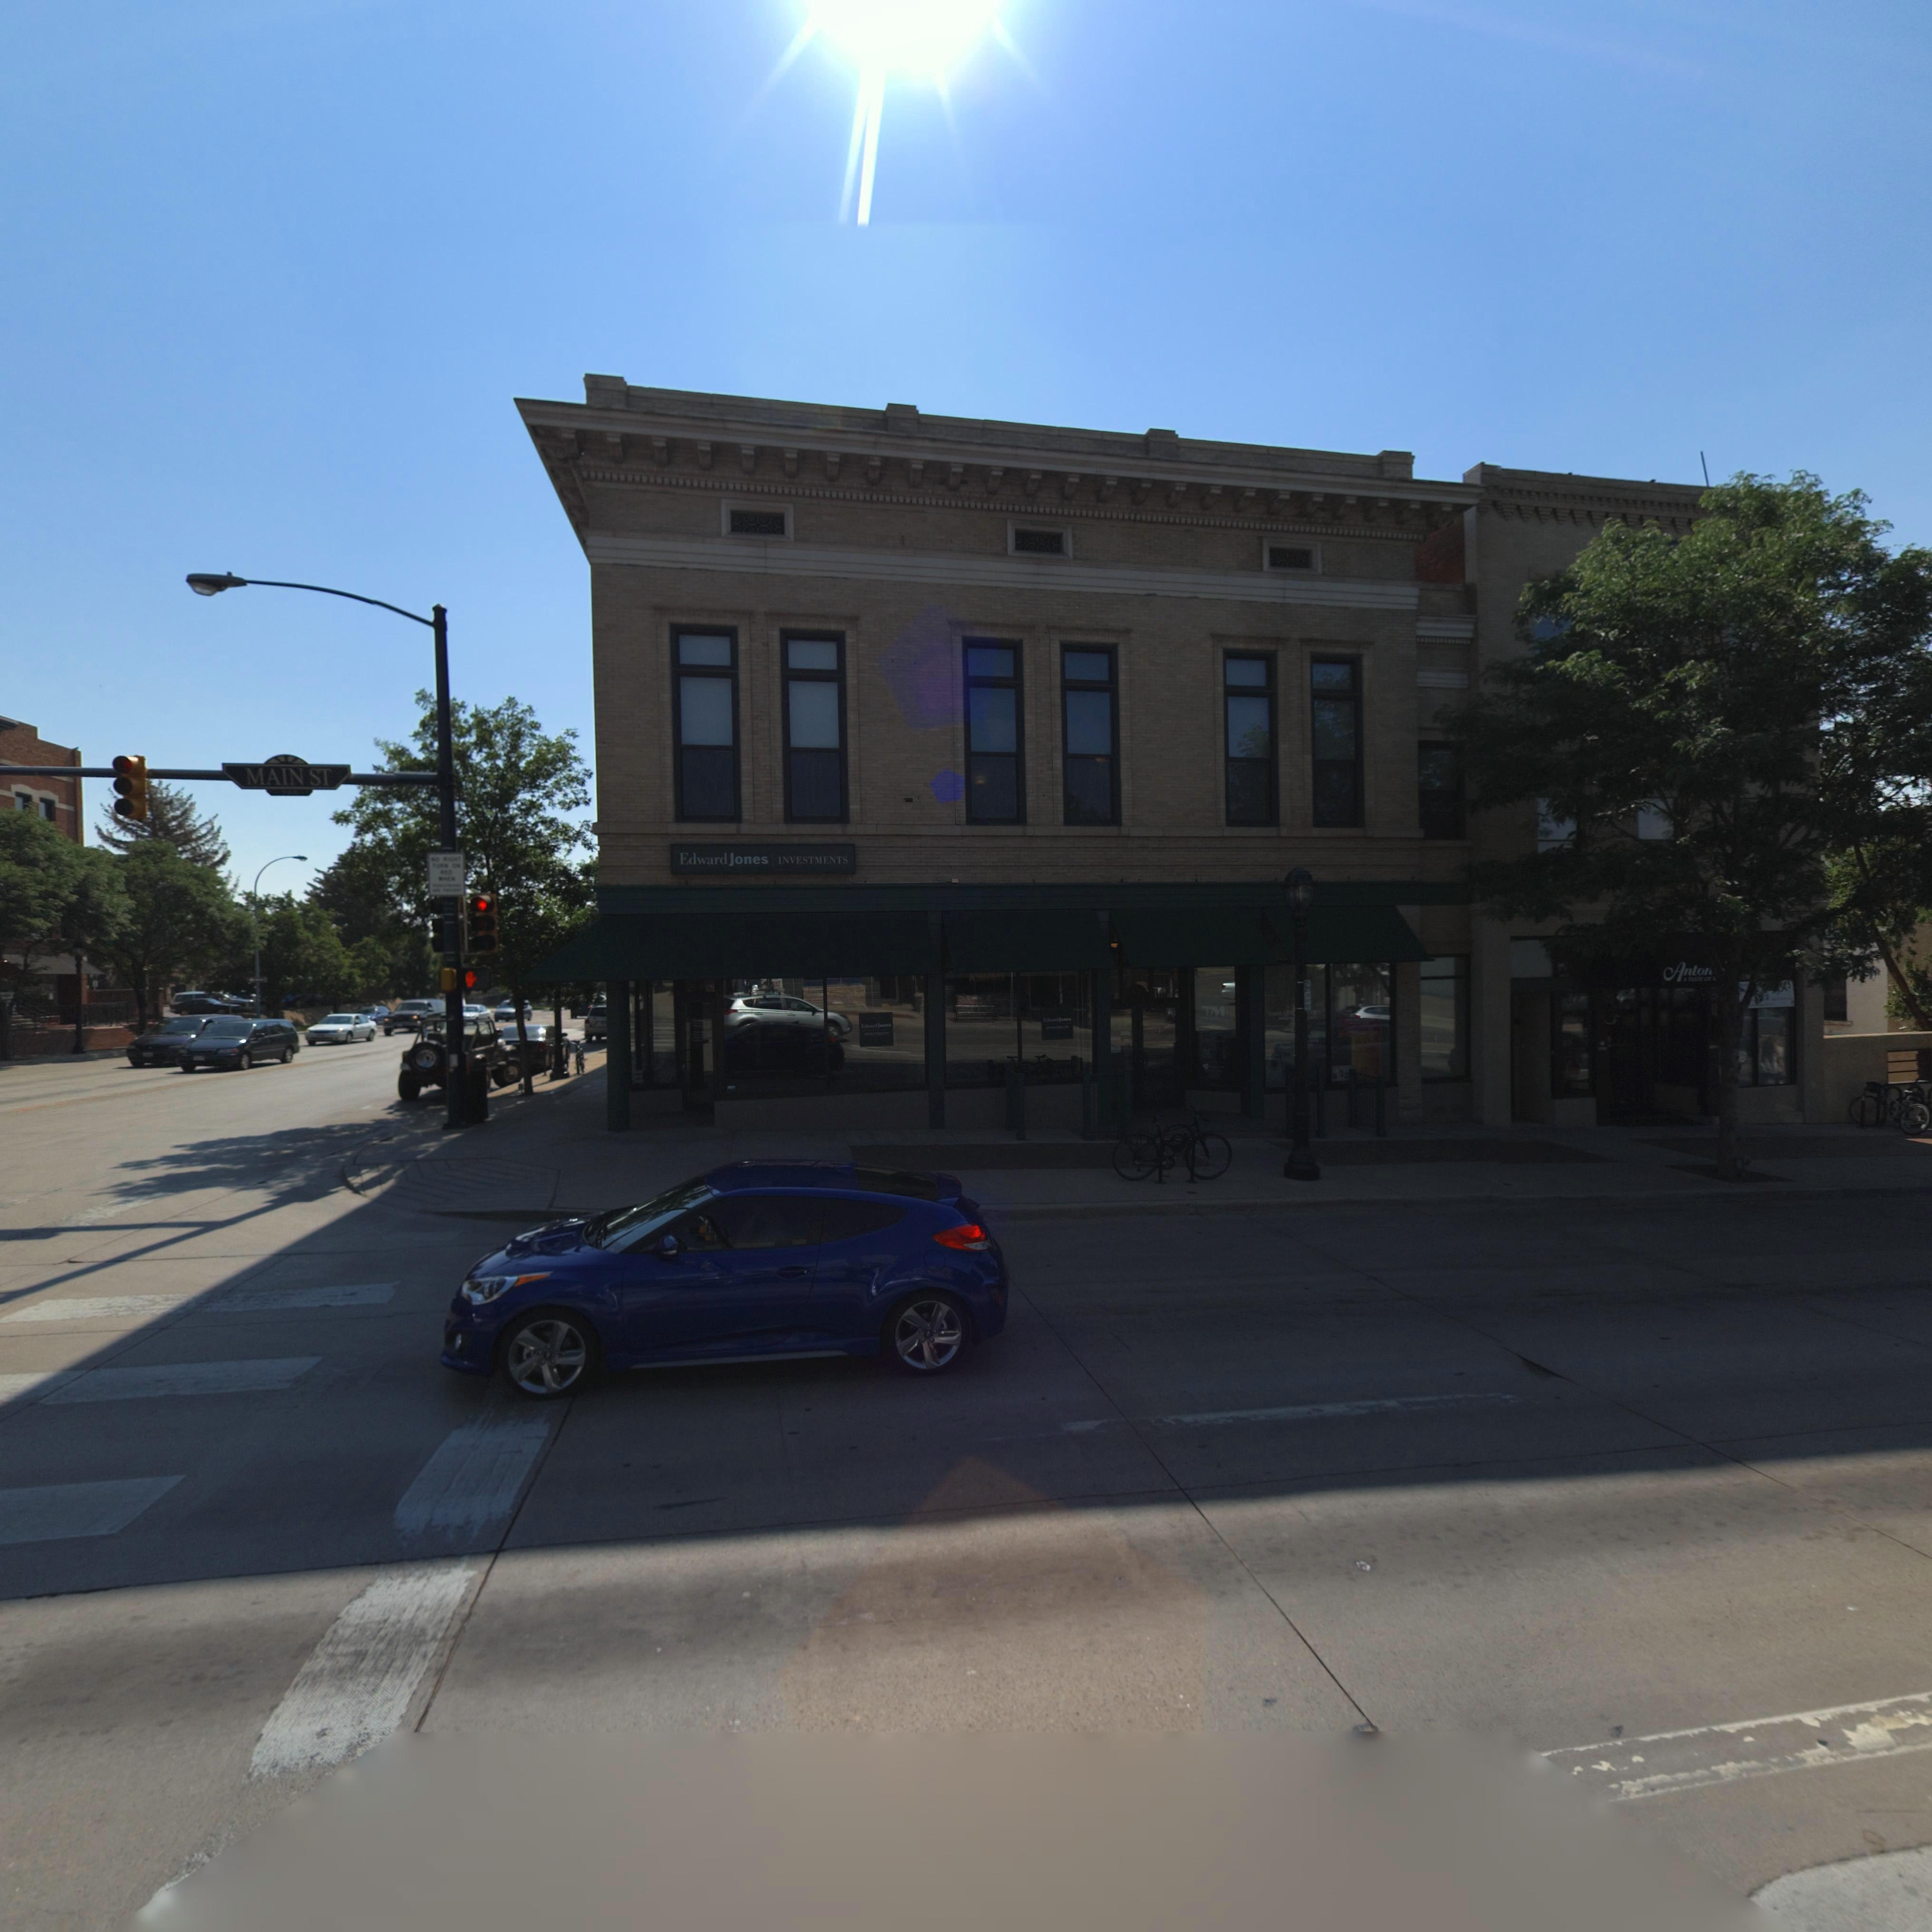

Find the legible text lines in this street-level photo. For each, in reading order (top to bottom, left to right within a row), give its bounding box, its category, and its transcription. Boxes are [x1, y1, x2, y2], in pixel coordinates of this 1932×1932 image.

[244, 765, 332, 787] StreetName: MAIN ST
[678, 850, 849, 867] BusinessName: Edward Jones INVESTMENTS
[1660, 960, 1712, 983] StreetNumber: Anton